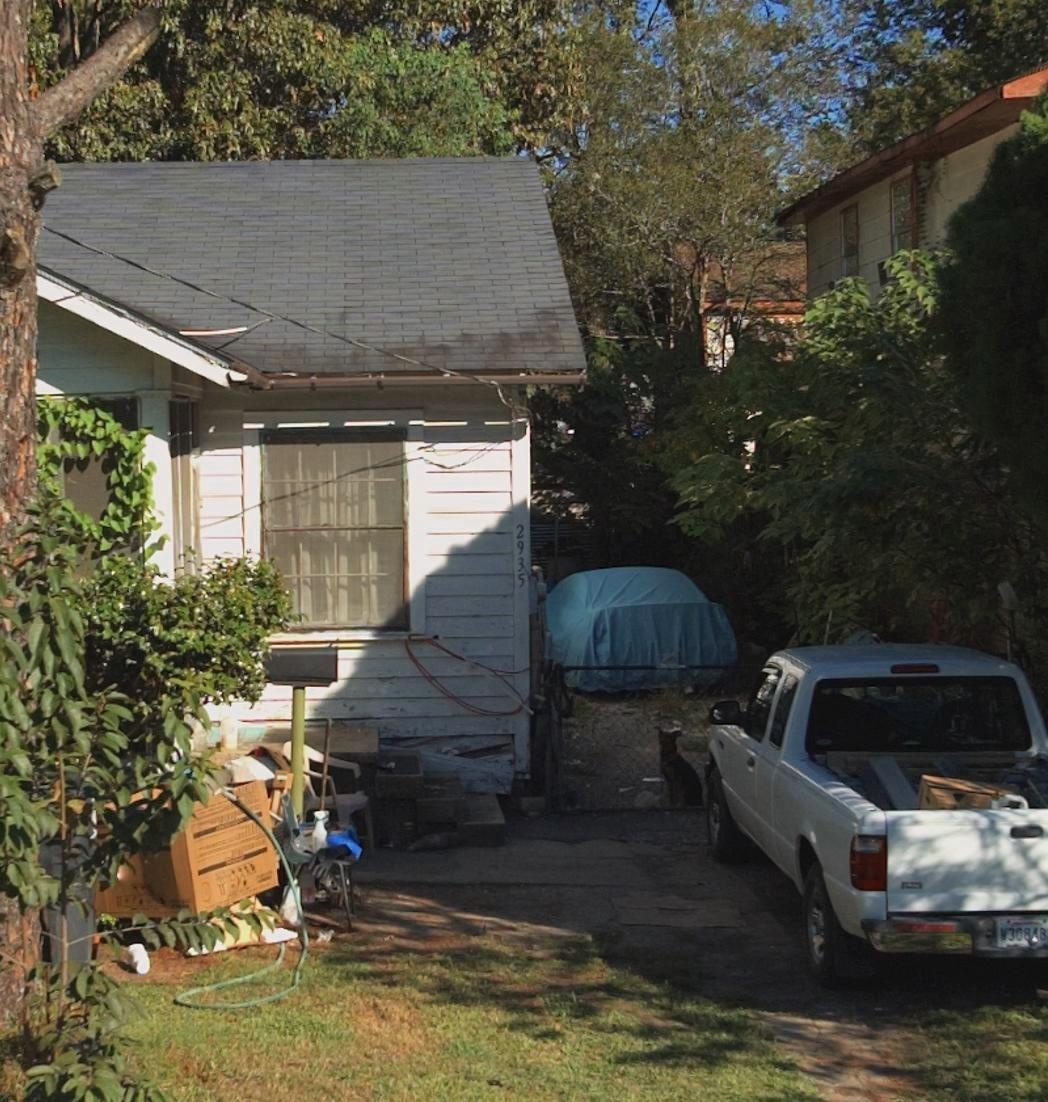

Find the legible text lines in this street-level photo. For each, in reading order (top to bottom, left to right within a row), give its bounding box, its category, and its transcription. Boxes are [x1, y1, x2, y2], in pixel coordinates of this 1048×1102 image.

[514, 522, 528, 591] StreetNumber: 2935
[997, 925, 1047, 943] None: W308*8